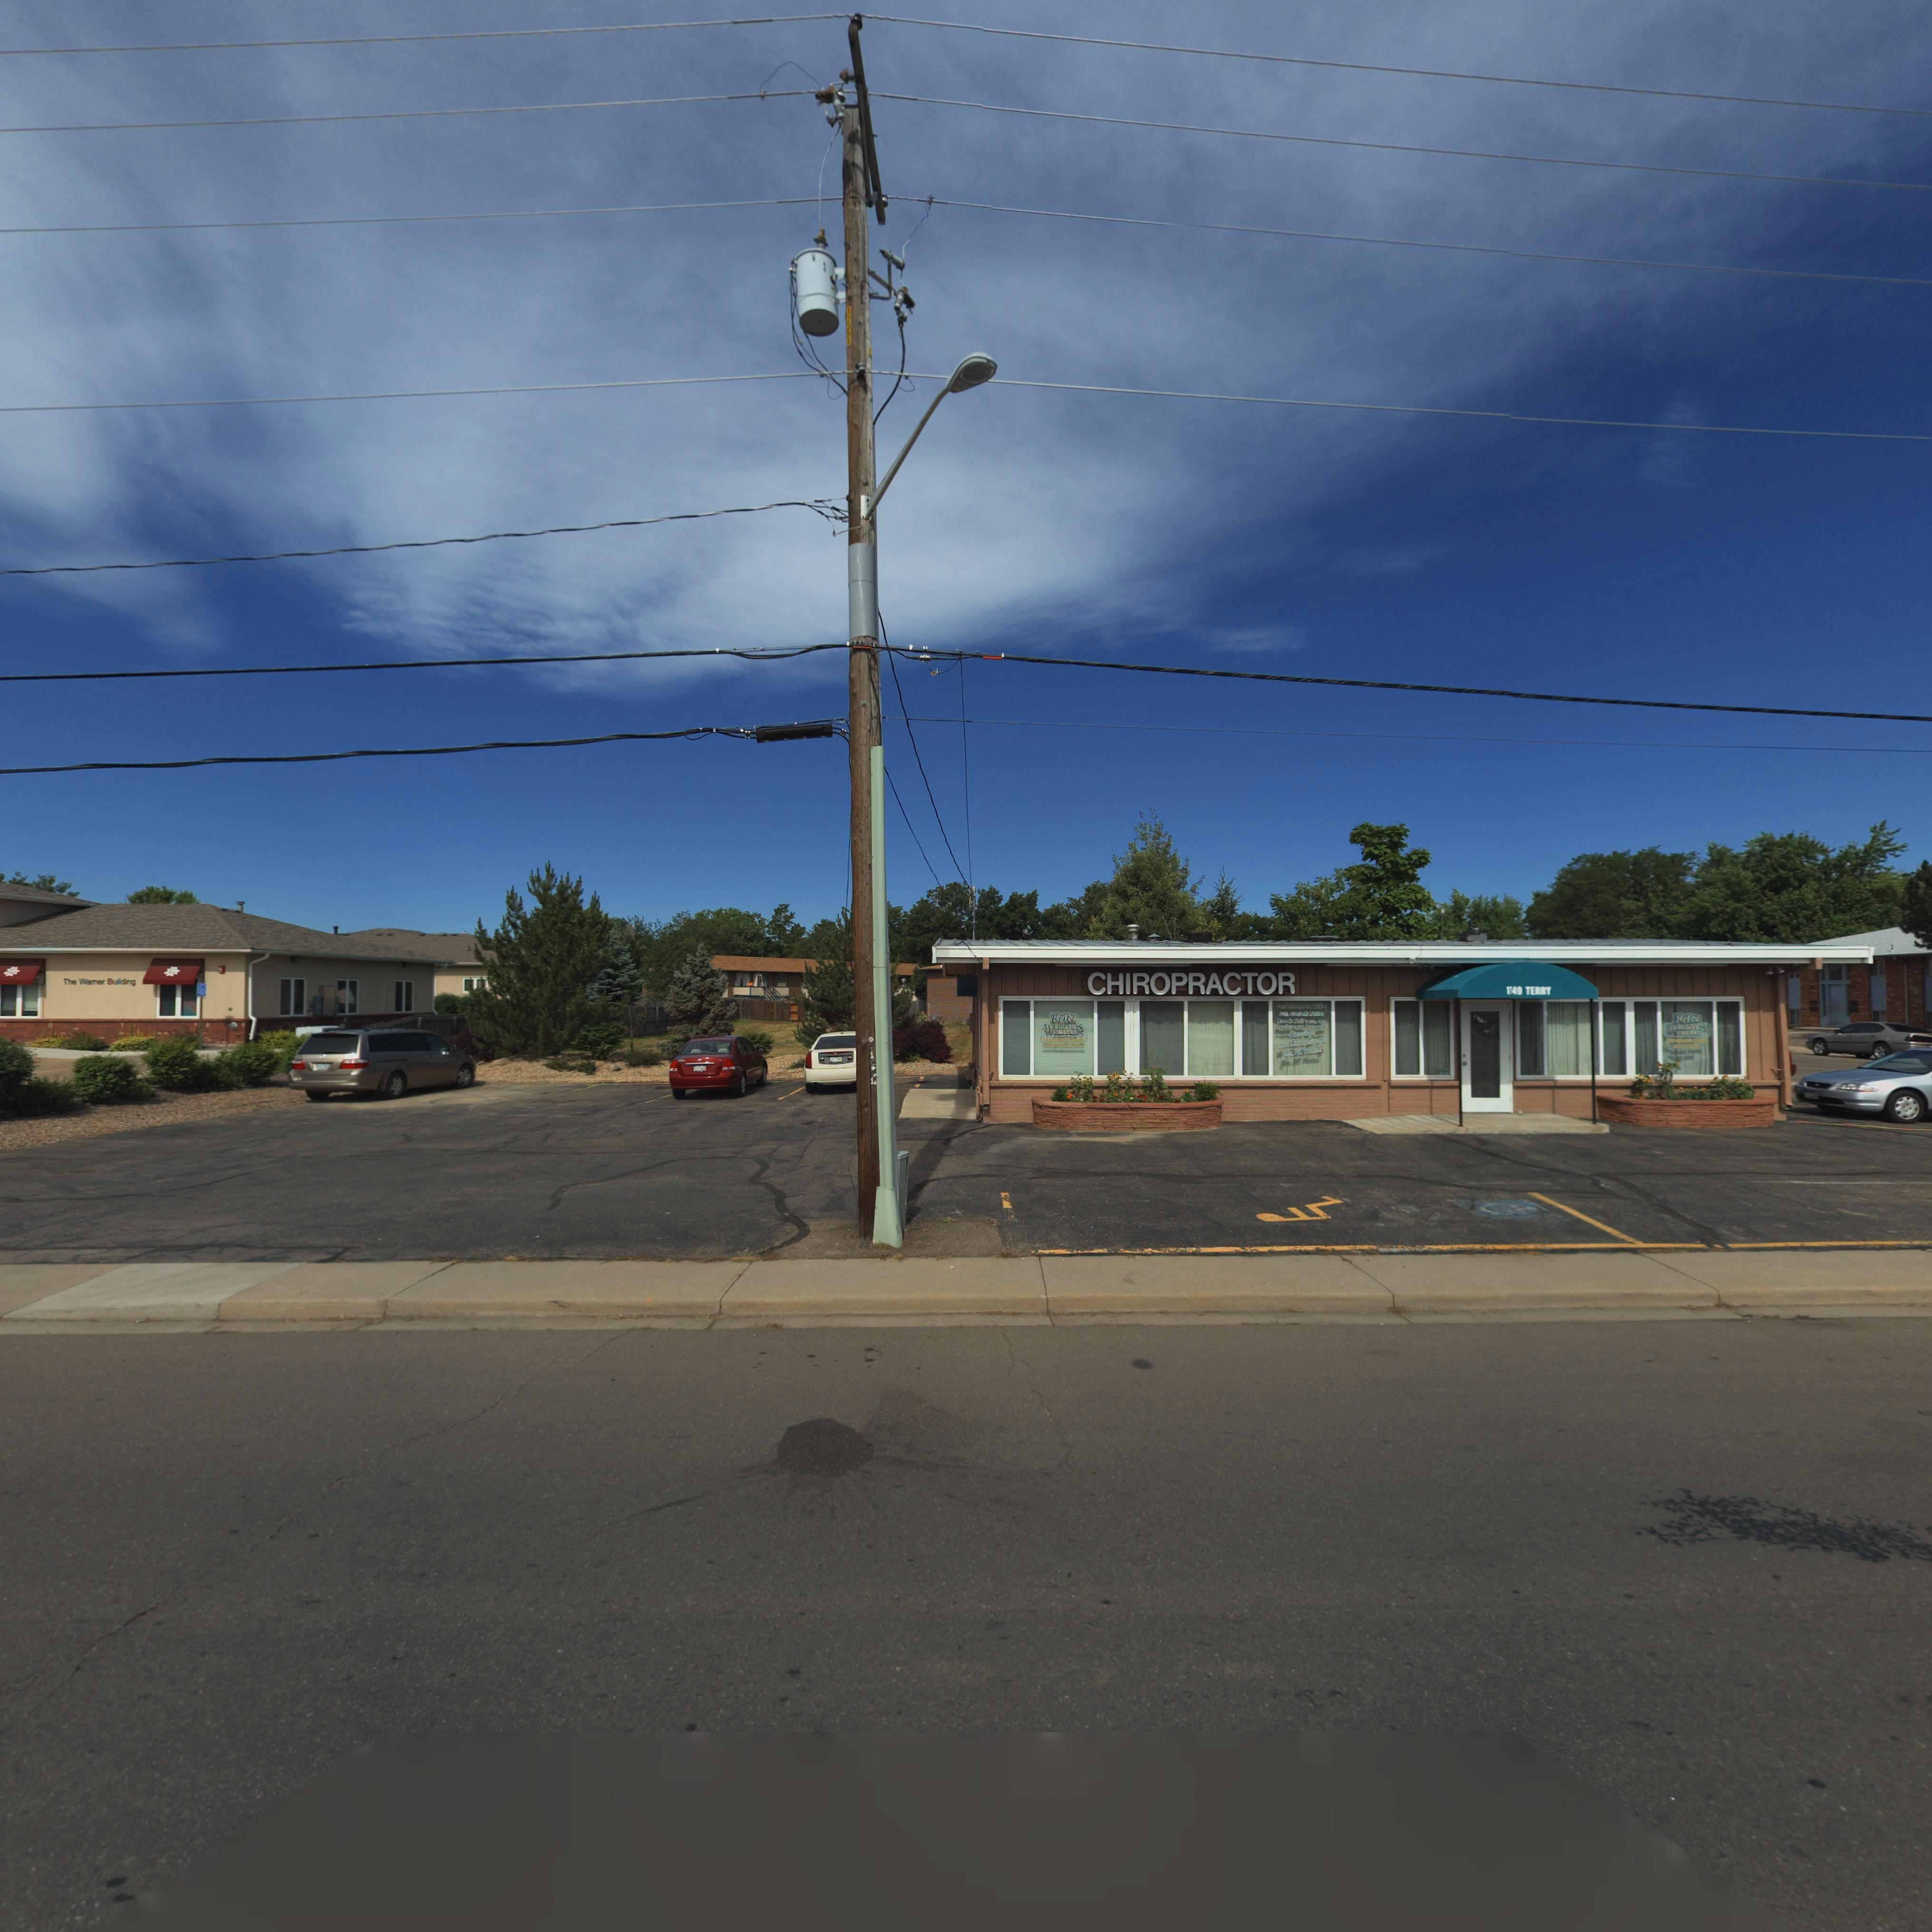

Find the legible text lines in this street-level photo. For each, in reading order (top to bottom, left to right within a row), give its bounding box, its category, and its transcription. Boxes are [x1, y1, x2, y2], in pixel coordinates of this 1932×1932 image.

[1506, 985, 1523, 995] StreetNumber: 1749
[1525, 985, 1551, 995] StreetName: TERRY
[1050, 1013, 1076, 1023] BusinessName: Fritz
[1672, 1013, 1700, 1024] BusinessName: Fritz
[1043, 1023, 1084, 1033] BusinessName: WELLNESS
[1053, 1029, 1077, 1034] BusinessName: C****R
[1668, 1023, 1707, 1033] BusinessName: WEL****S
[1676, 1030, 1700, 1034] BusinessName: C*****